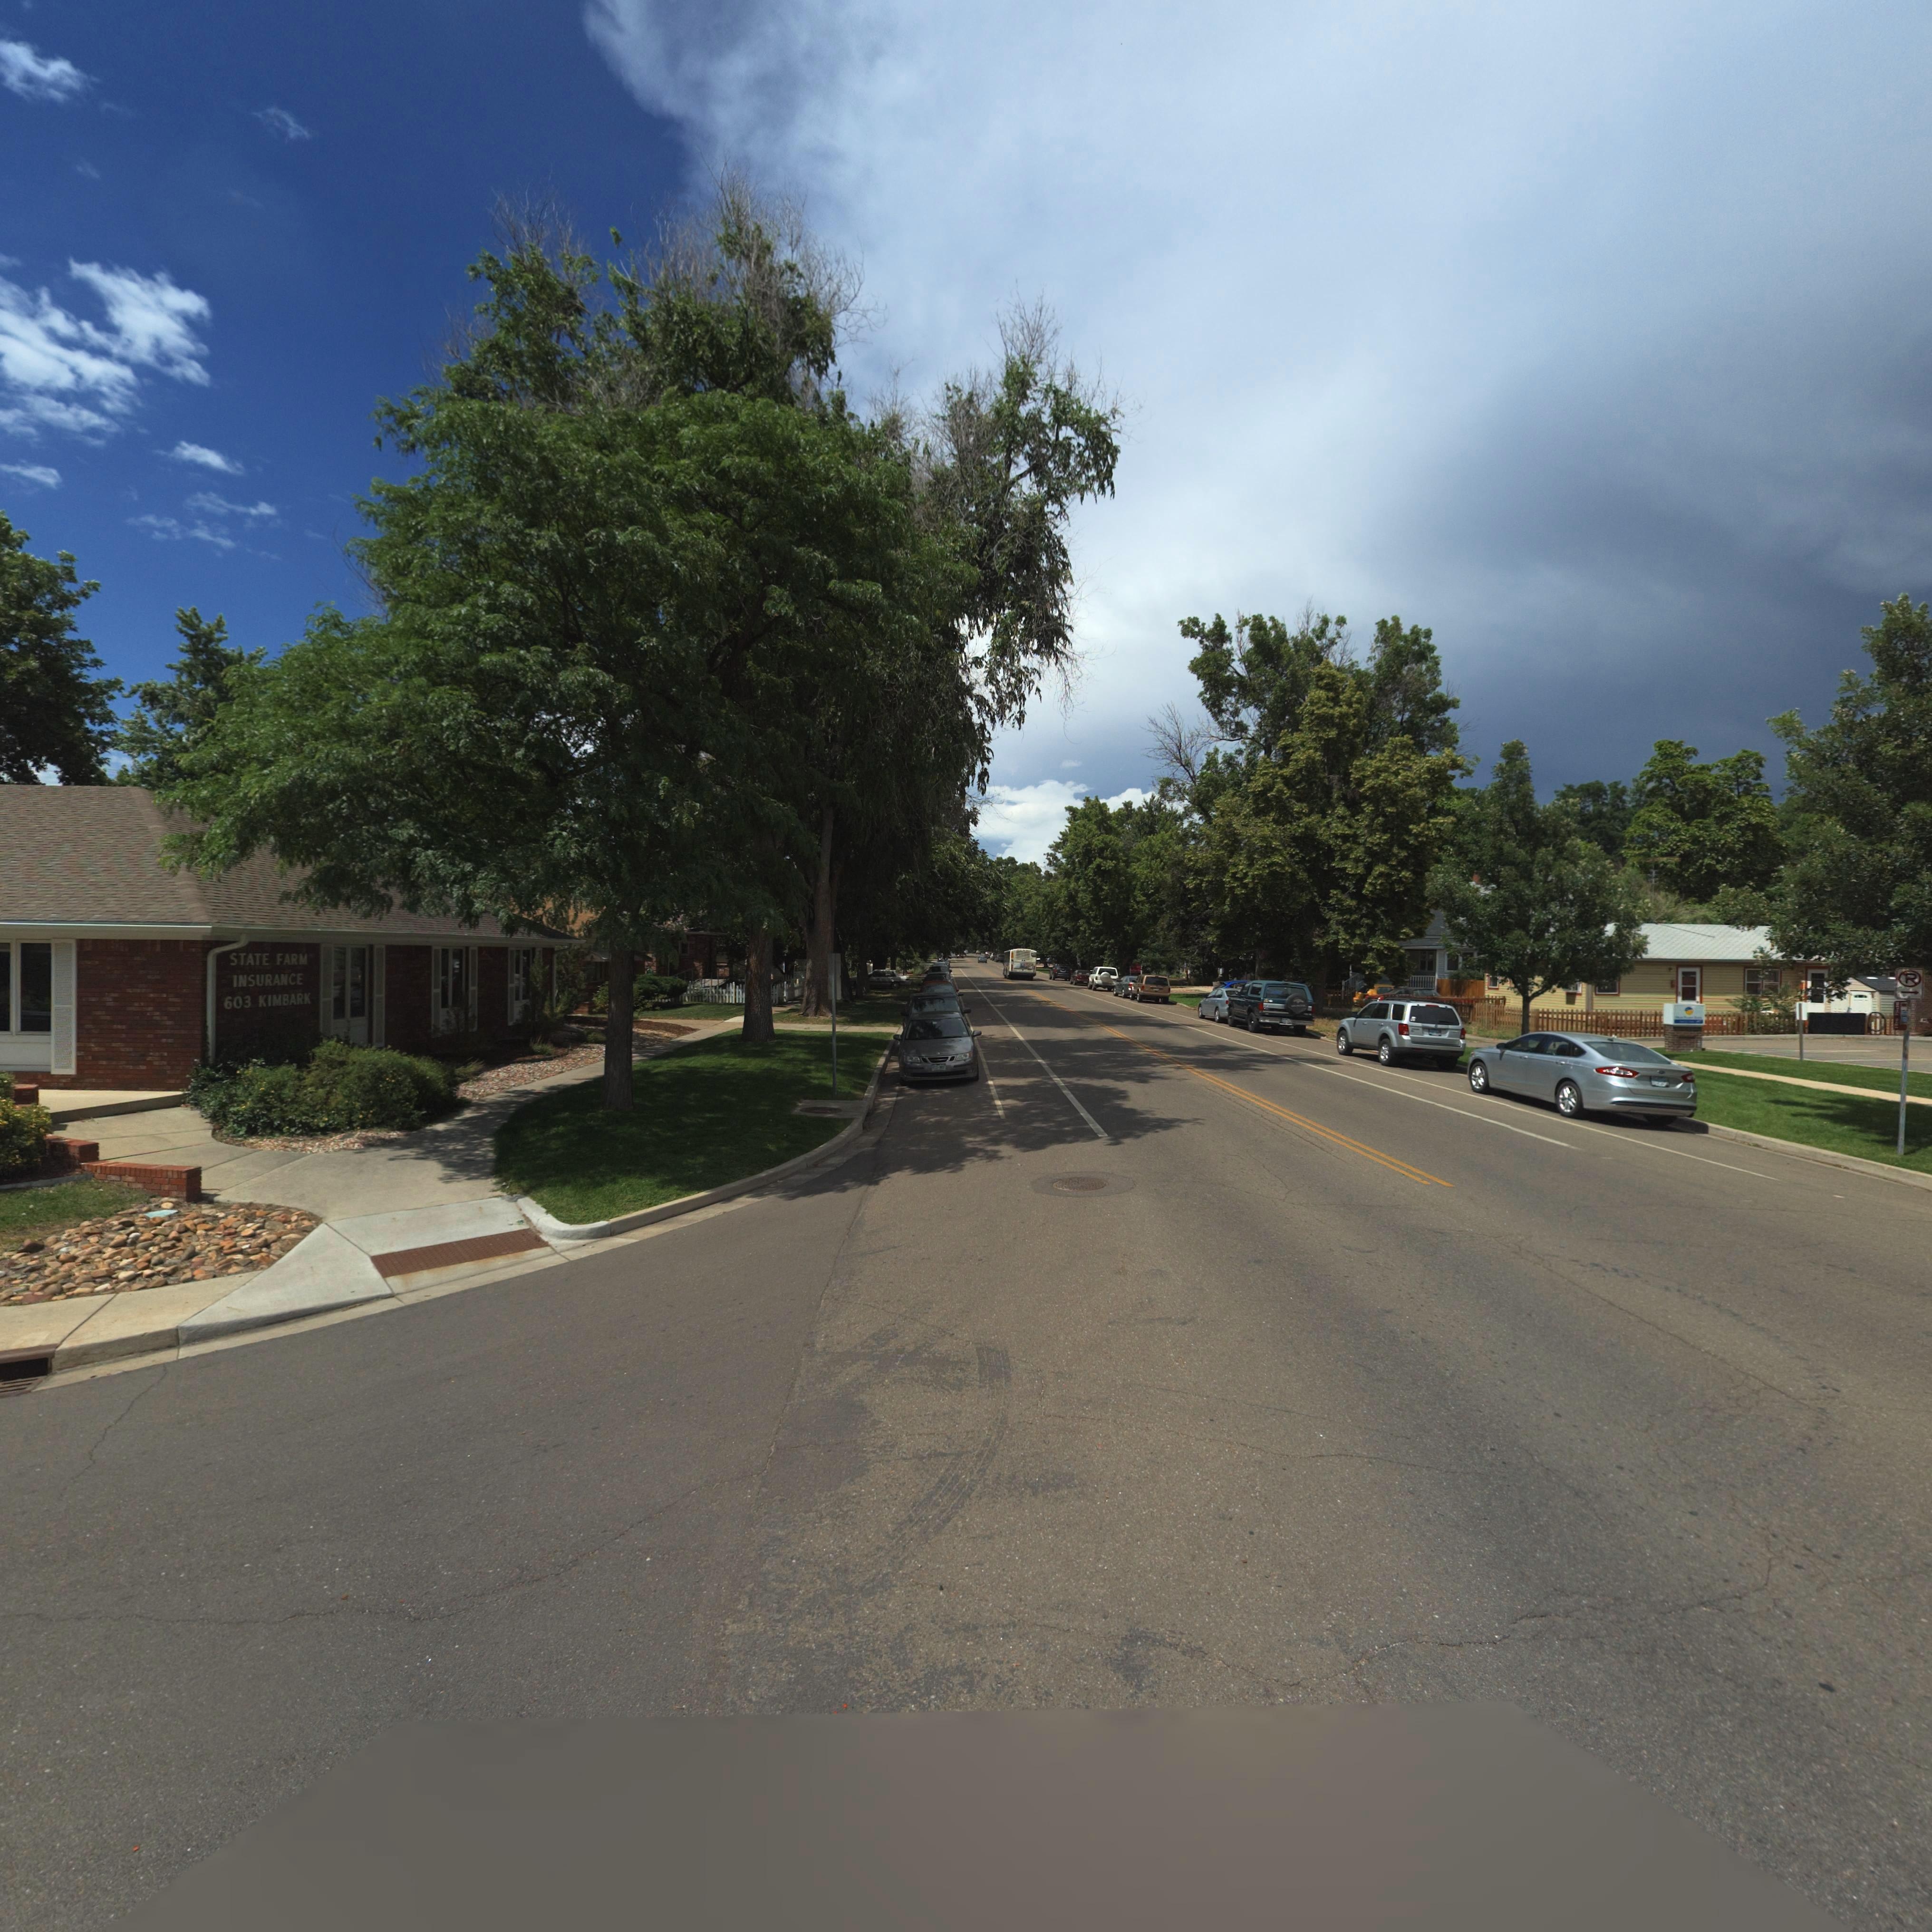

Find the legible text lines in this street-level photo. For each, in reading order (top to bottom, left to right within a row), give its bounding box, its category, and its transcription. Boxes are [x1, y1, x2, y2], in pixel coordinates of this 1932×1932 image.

[229, 951, 309, 966] BusinessName: STATE FARM
[231, 971, 304, 989] BusinessName: INSURANCE
[223, 993, 251, 1010] StreetNumber: 603
[257, 991, 312, 1008] StreetName: KIMBARK